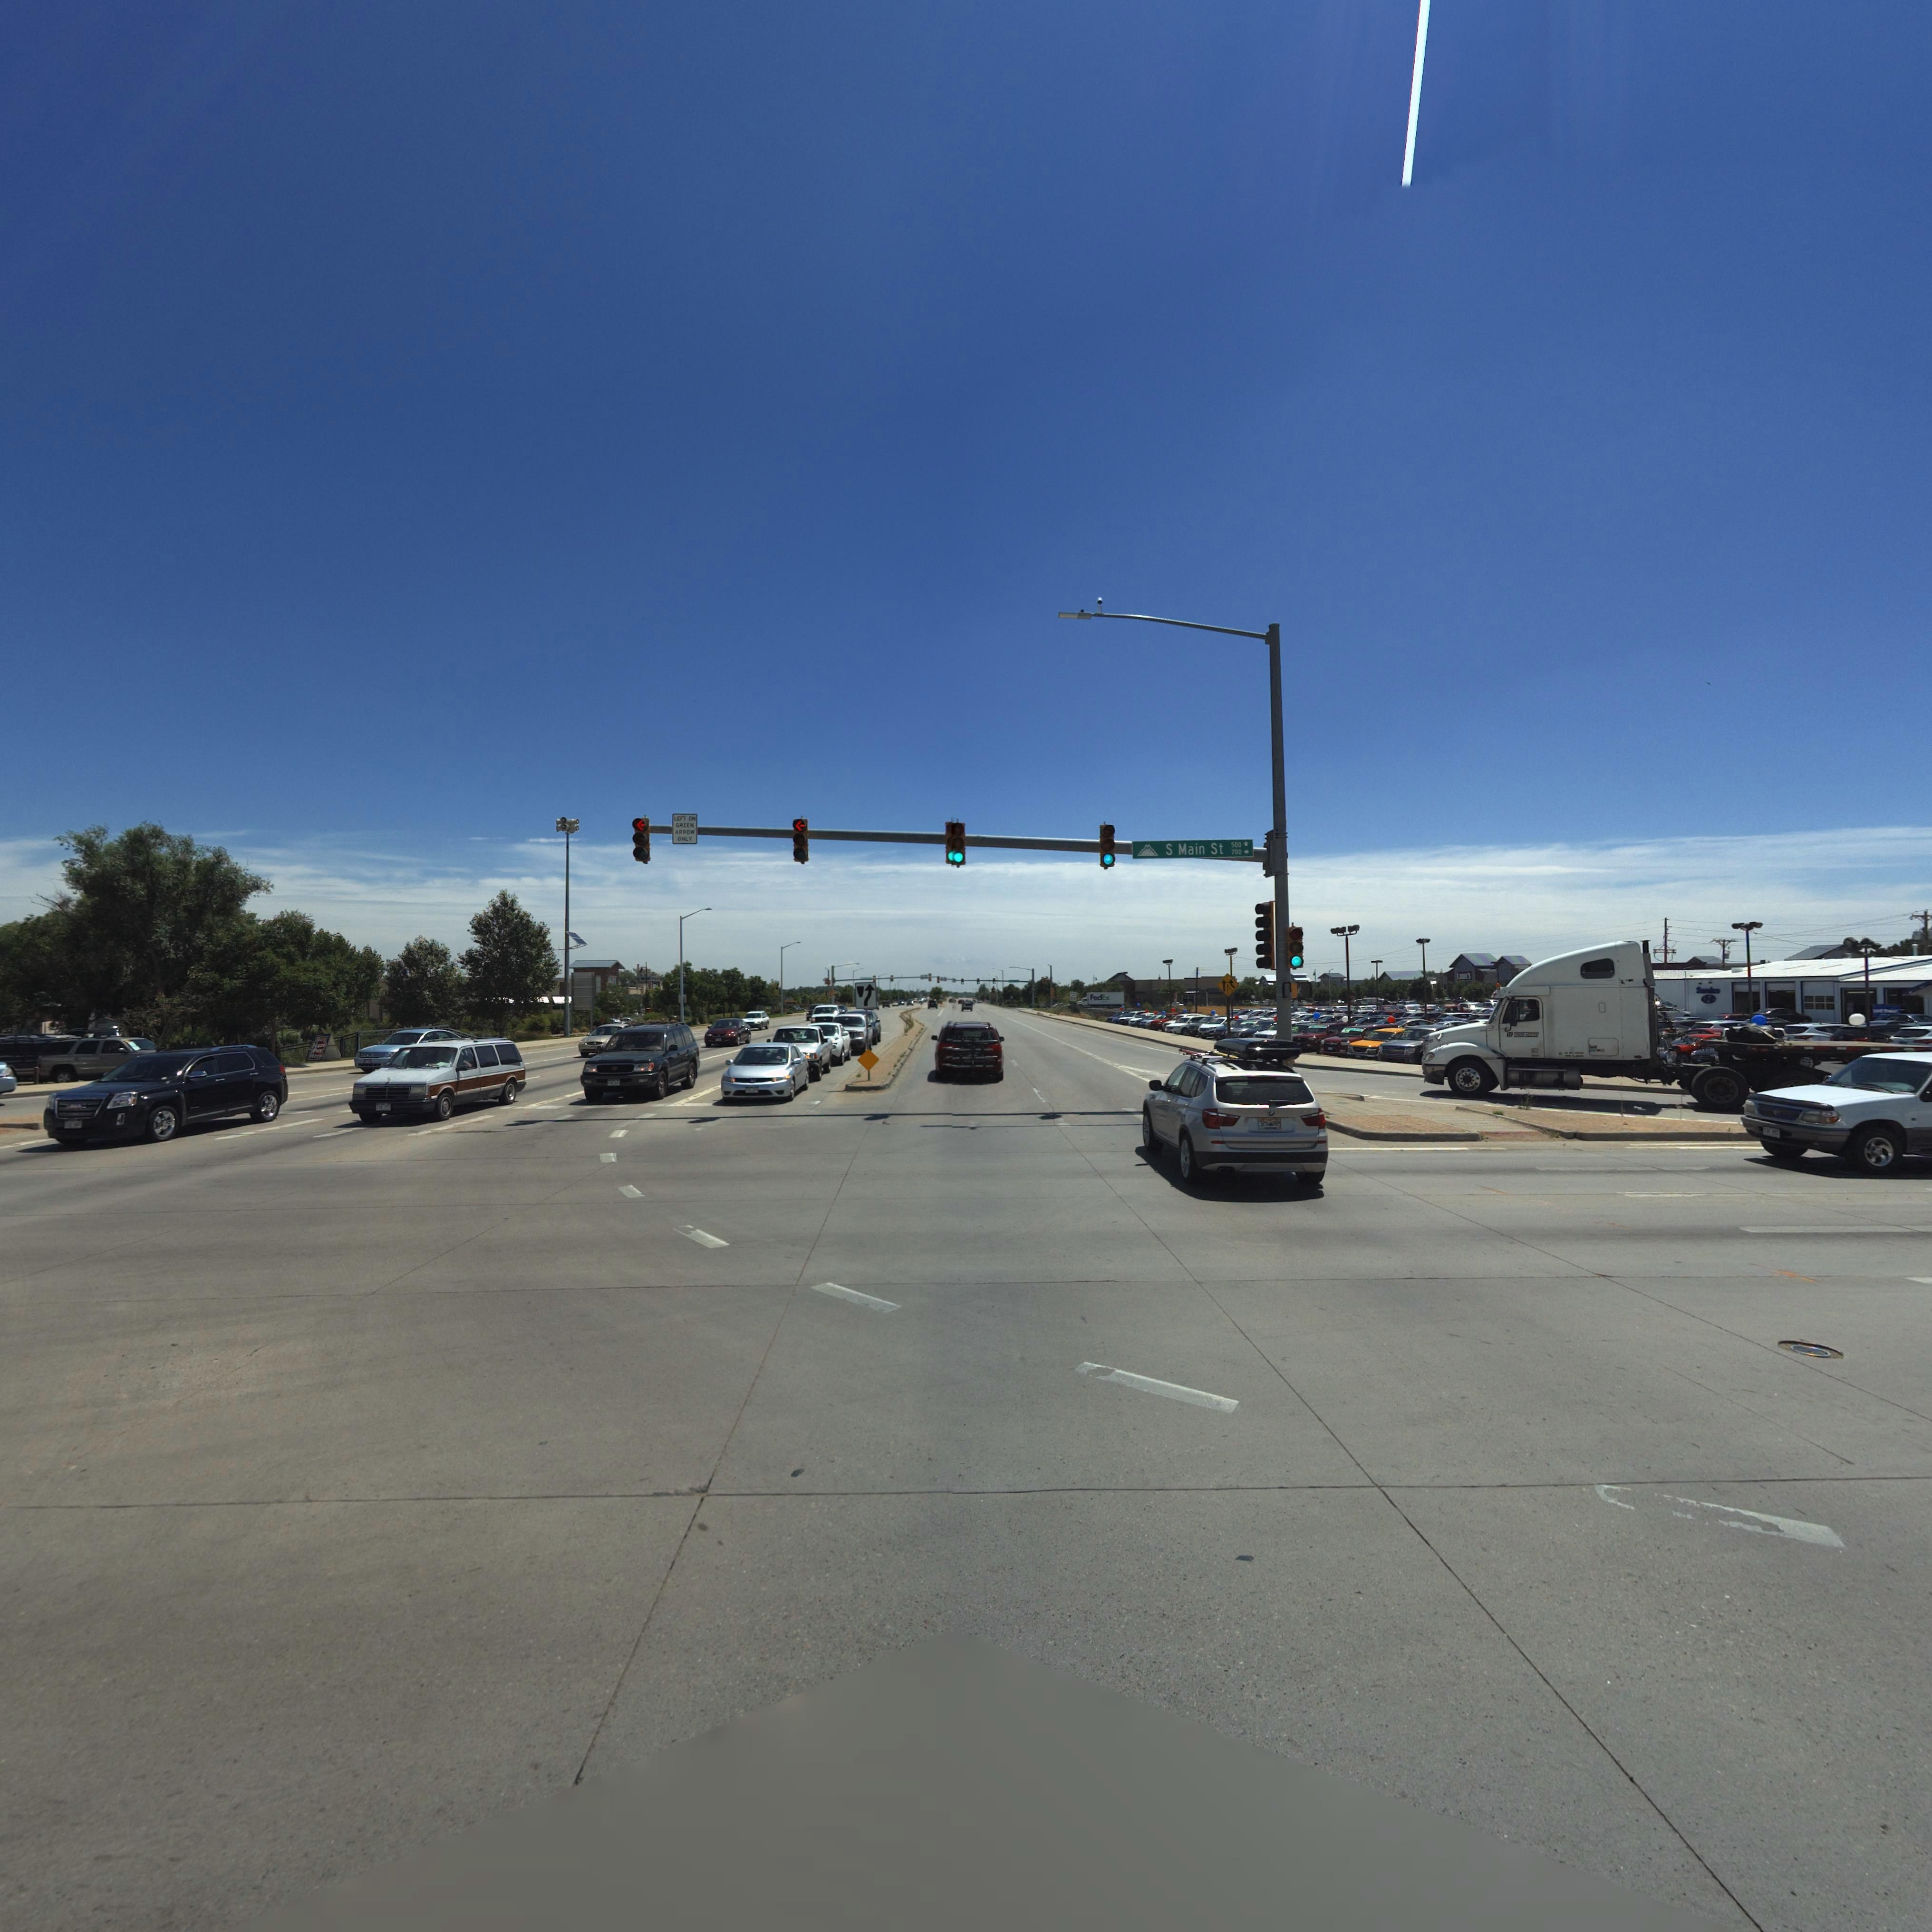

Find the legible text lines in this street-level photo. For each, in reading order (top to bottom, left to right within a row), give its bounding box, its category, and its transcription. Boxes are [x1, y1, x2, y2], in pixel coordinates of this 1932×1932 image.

[1231, 841, 1241, 848] StreetNumberRange: 500
[1166, 842, 1224, 855] StreetName: S Main St
[1231, 849, 1249, 854] StreetNumberRange: 700->
[1457, 972, 1471, 979] BusinessName: *OWE'S